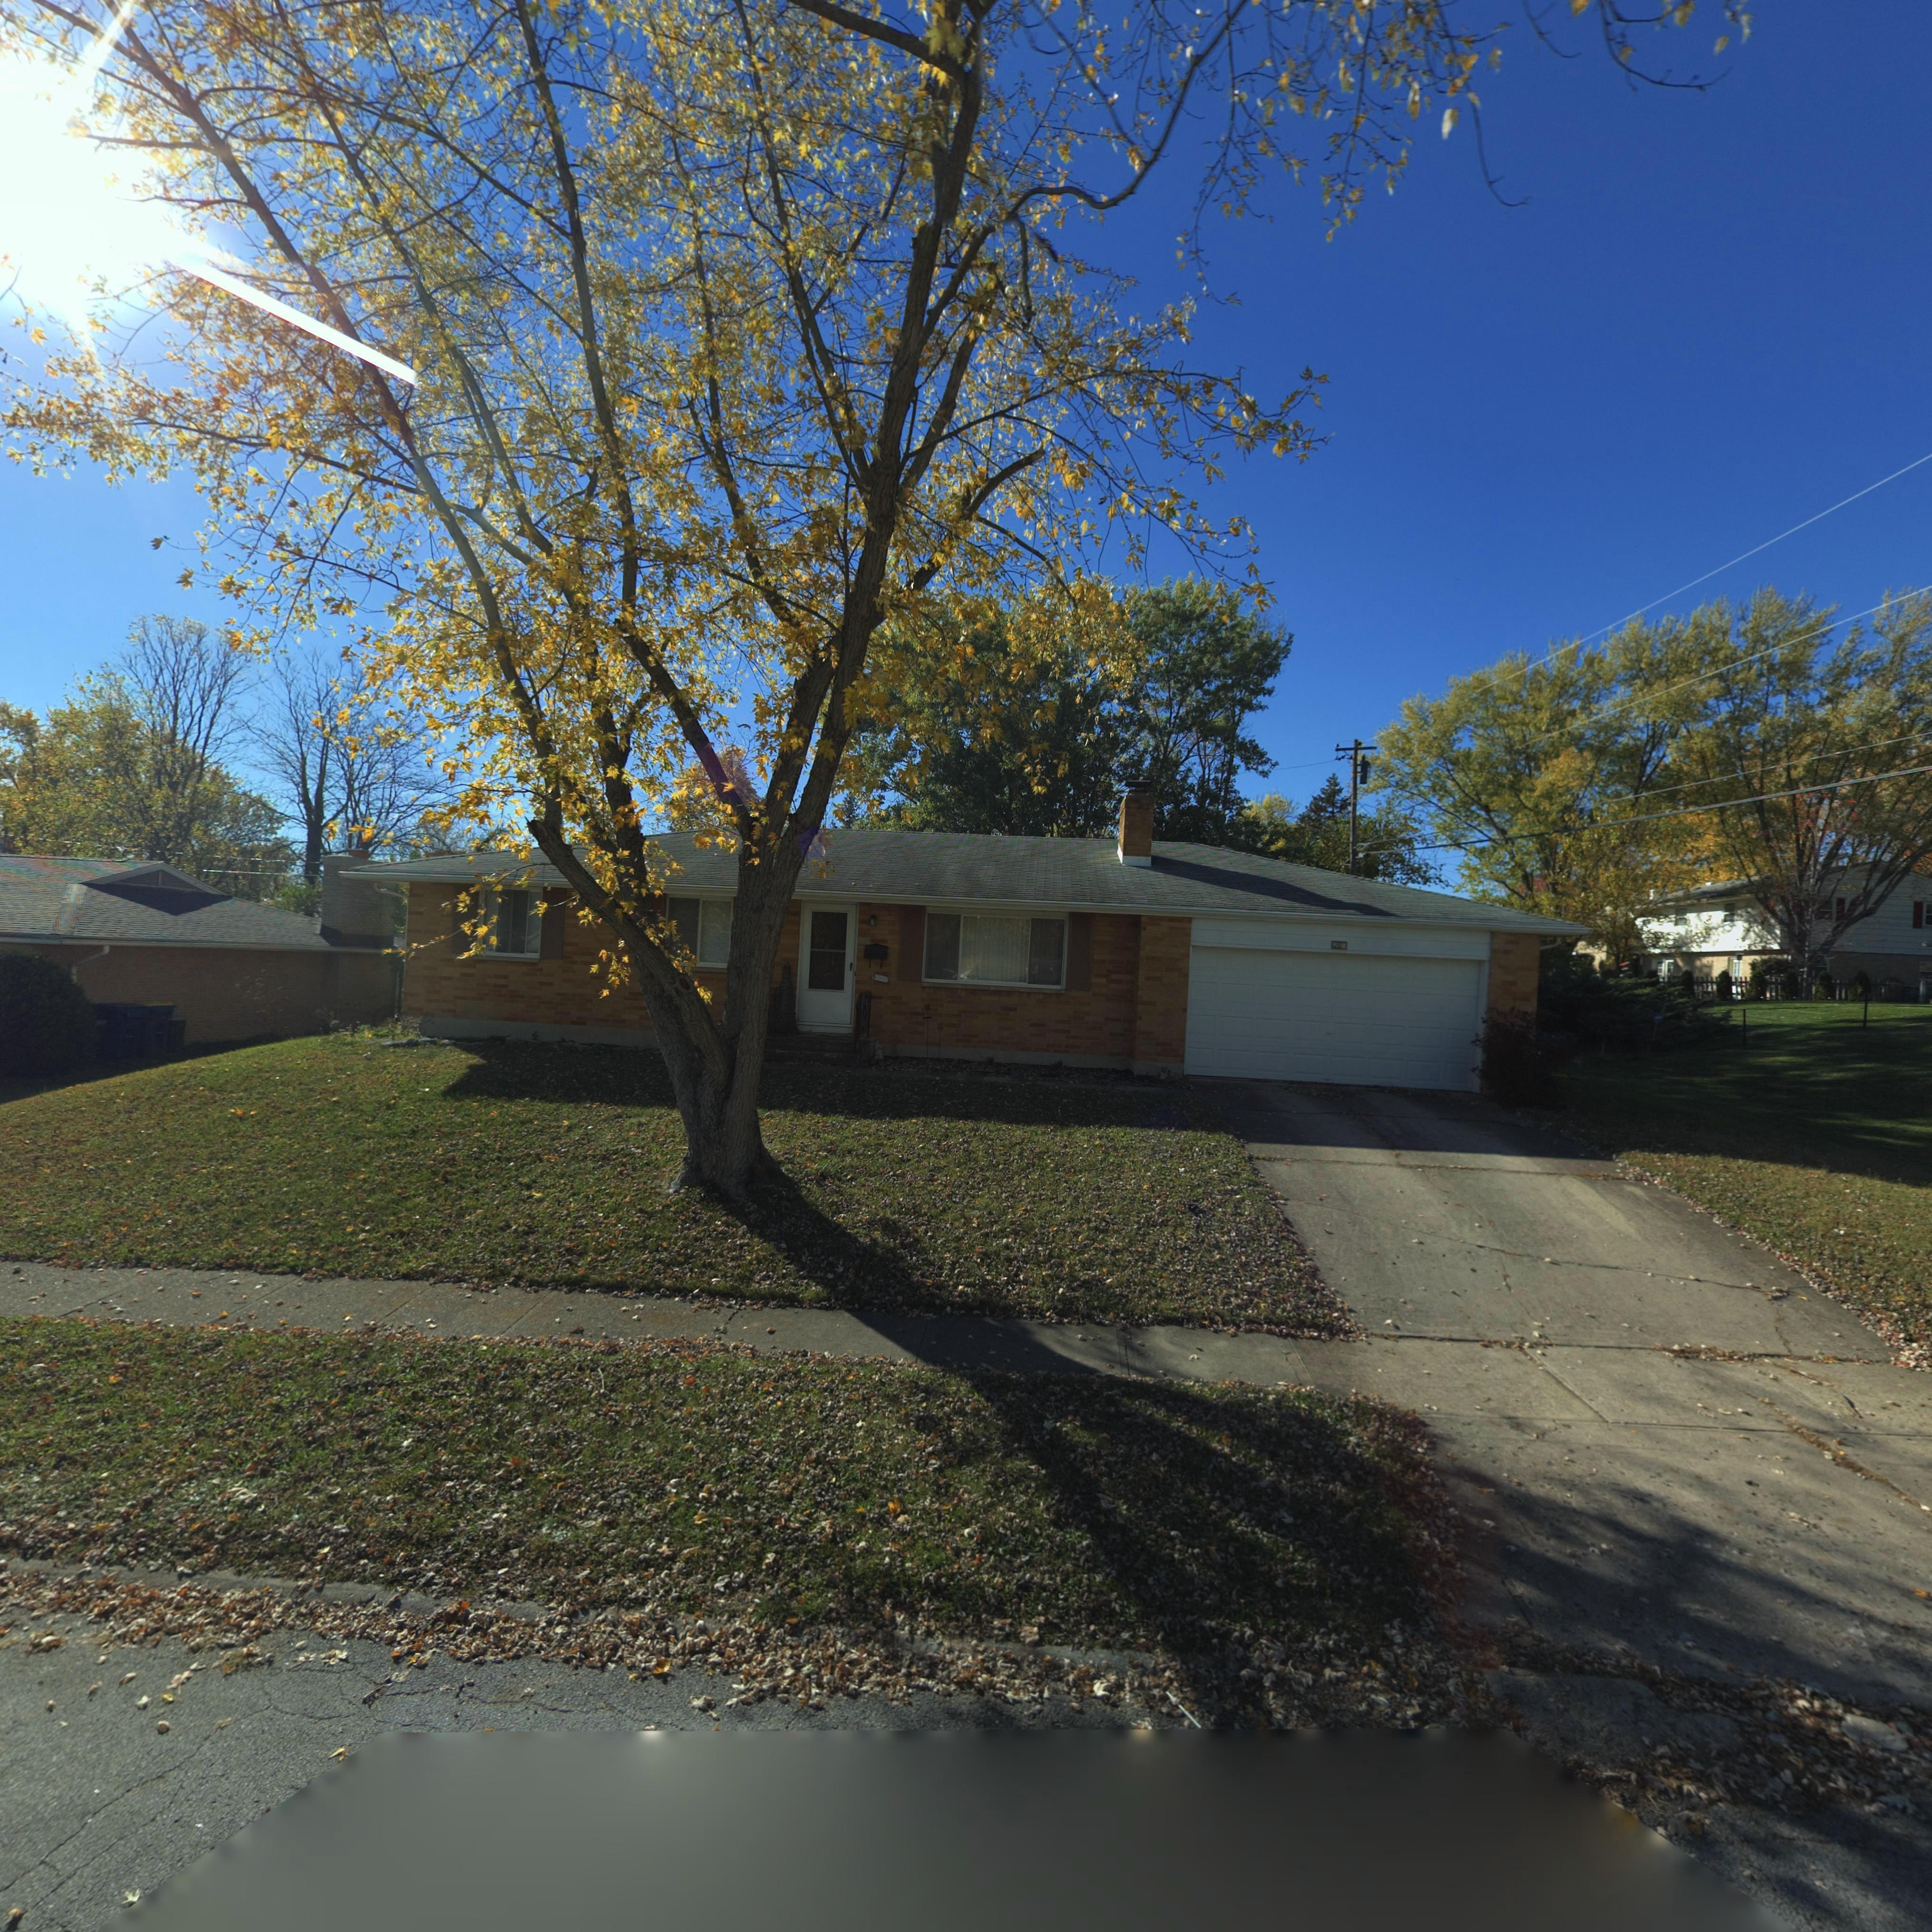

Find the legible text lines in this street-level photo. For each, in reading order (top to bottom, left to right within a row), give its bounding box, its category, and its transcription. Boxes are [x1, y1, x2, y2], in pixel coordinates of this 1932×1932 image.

[1332, 942, 1347, 948] StreetNumber: 6*0*